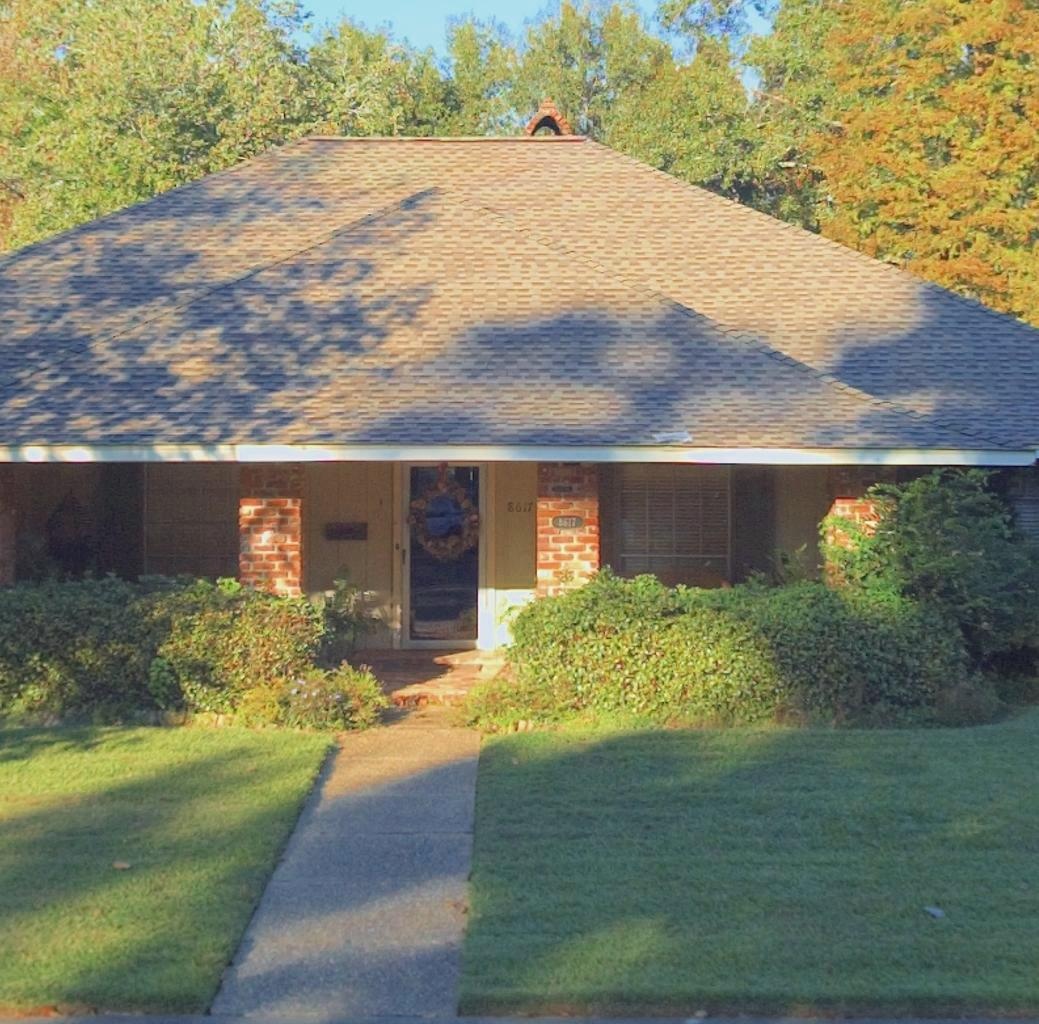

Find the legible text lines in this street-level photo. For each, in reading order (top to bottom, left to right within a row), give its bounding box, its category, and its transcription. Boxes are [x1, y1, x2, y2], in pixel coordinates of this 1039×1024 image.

[506, 501, 534, 514] StreetNumber: 8617
[556, 517, 577, 527] StreetNumber: 8617